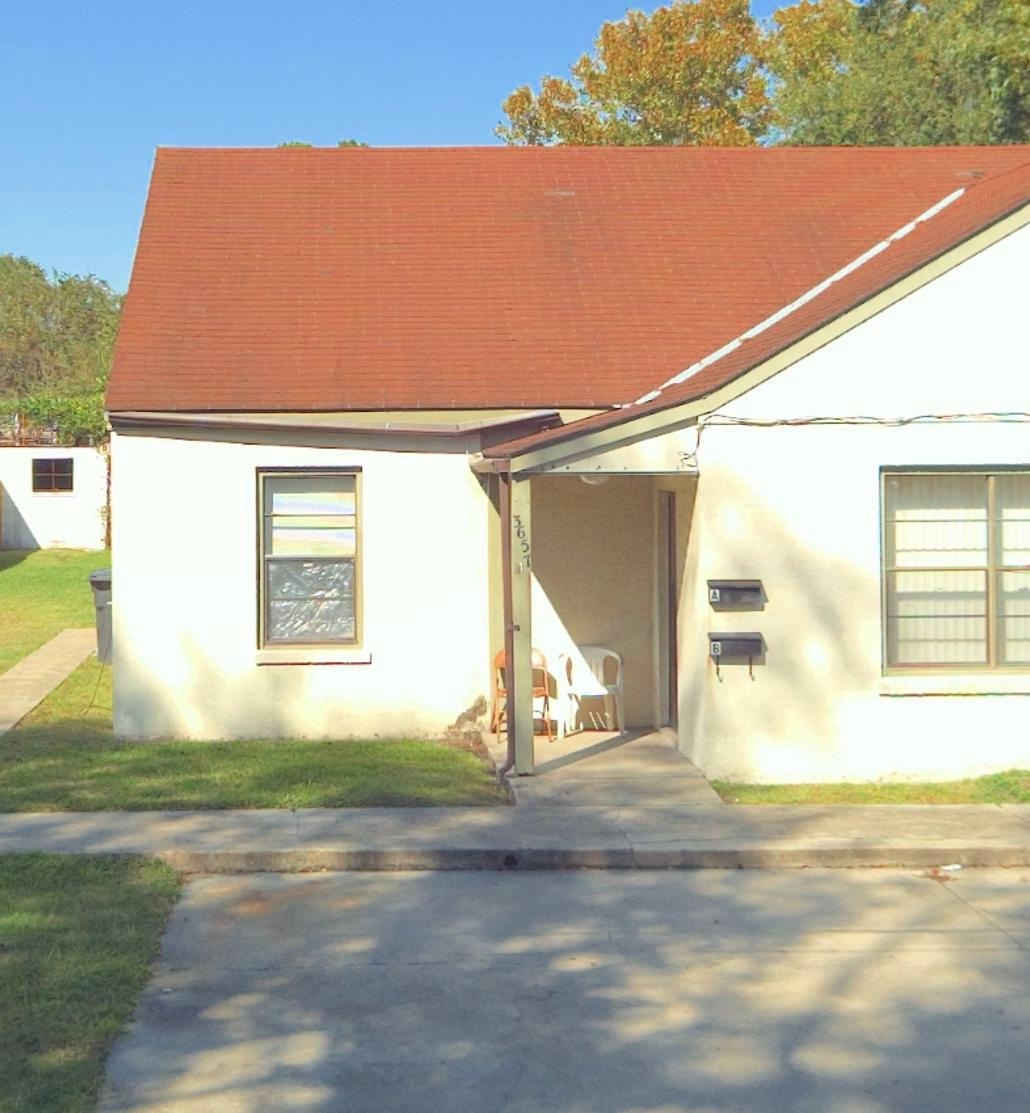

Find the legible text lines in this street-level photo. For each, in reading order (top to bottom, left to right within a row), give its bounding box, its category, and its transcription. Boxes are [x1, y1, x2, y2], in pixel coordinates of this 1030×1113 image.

[511, 513, 533, 570] StreetNumber: 3657
[709, 588, 719, 600] StreetNumber: A
[711, 642, 721, 654] StreetNumber: B